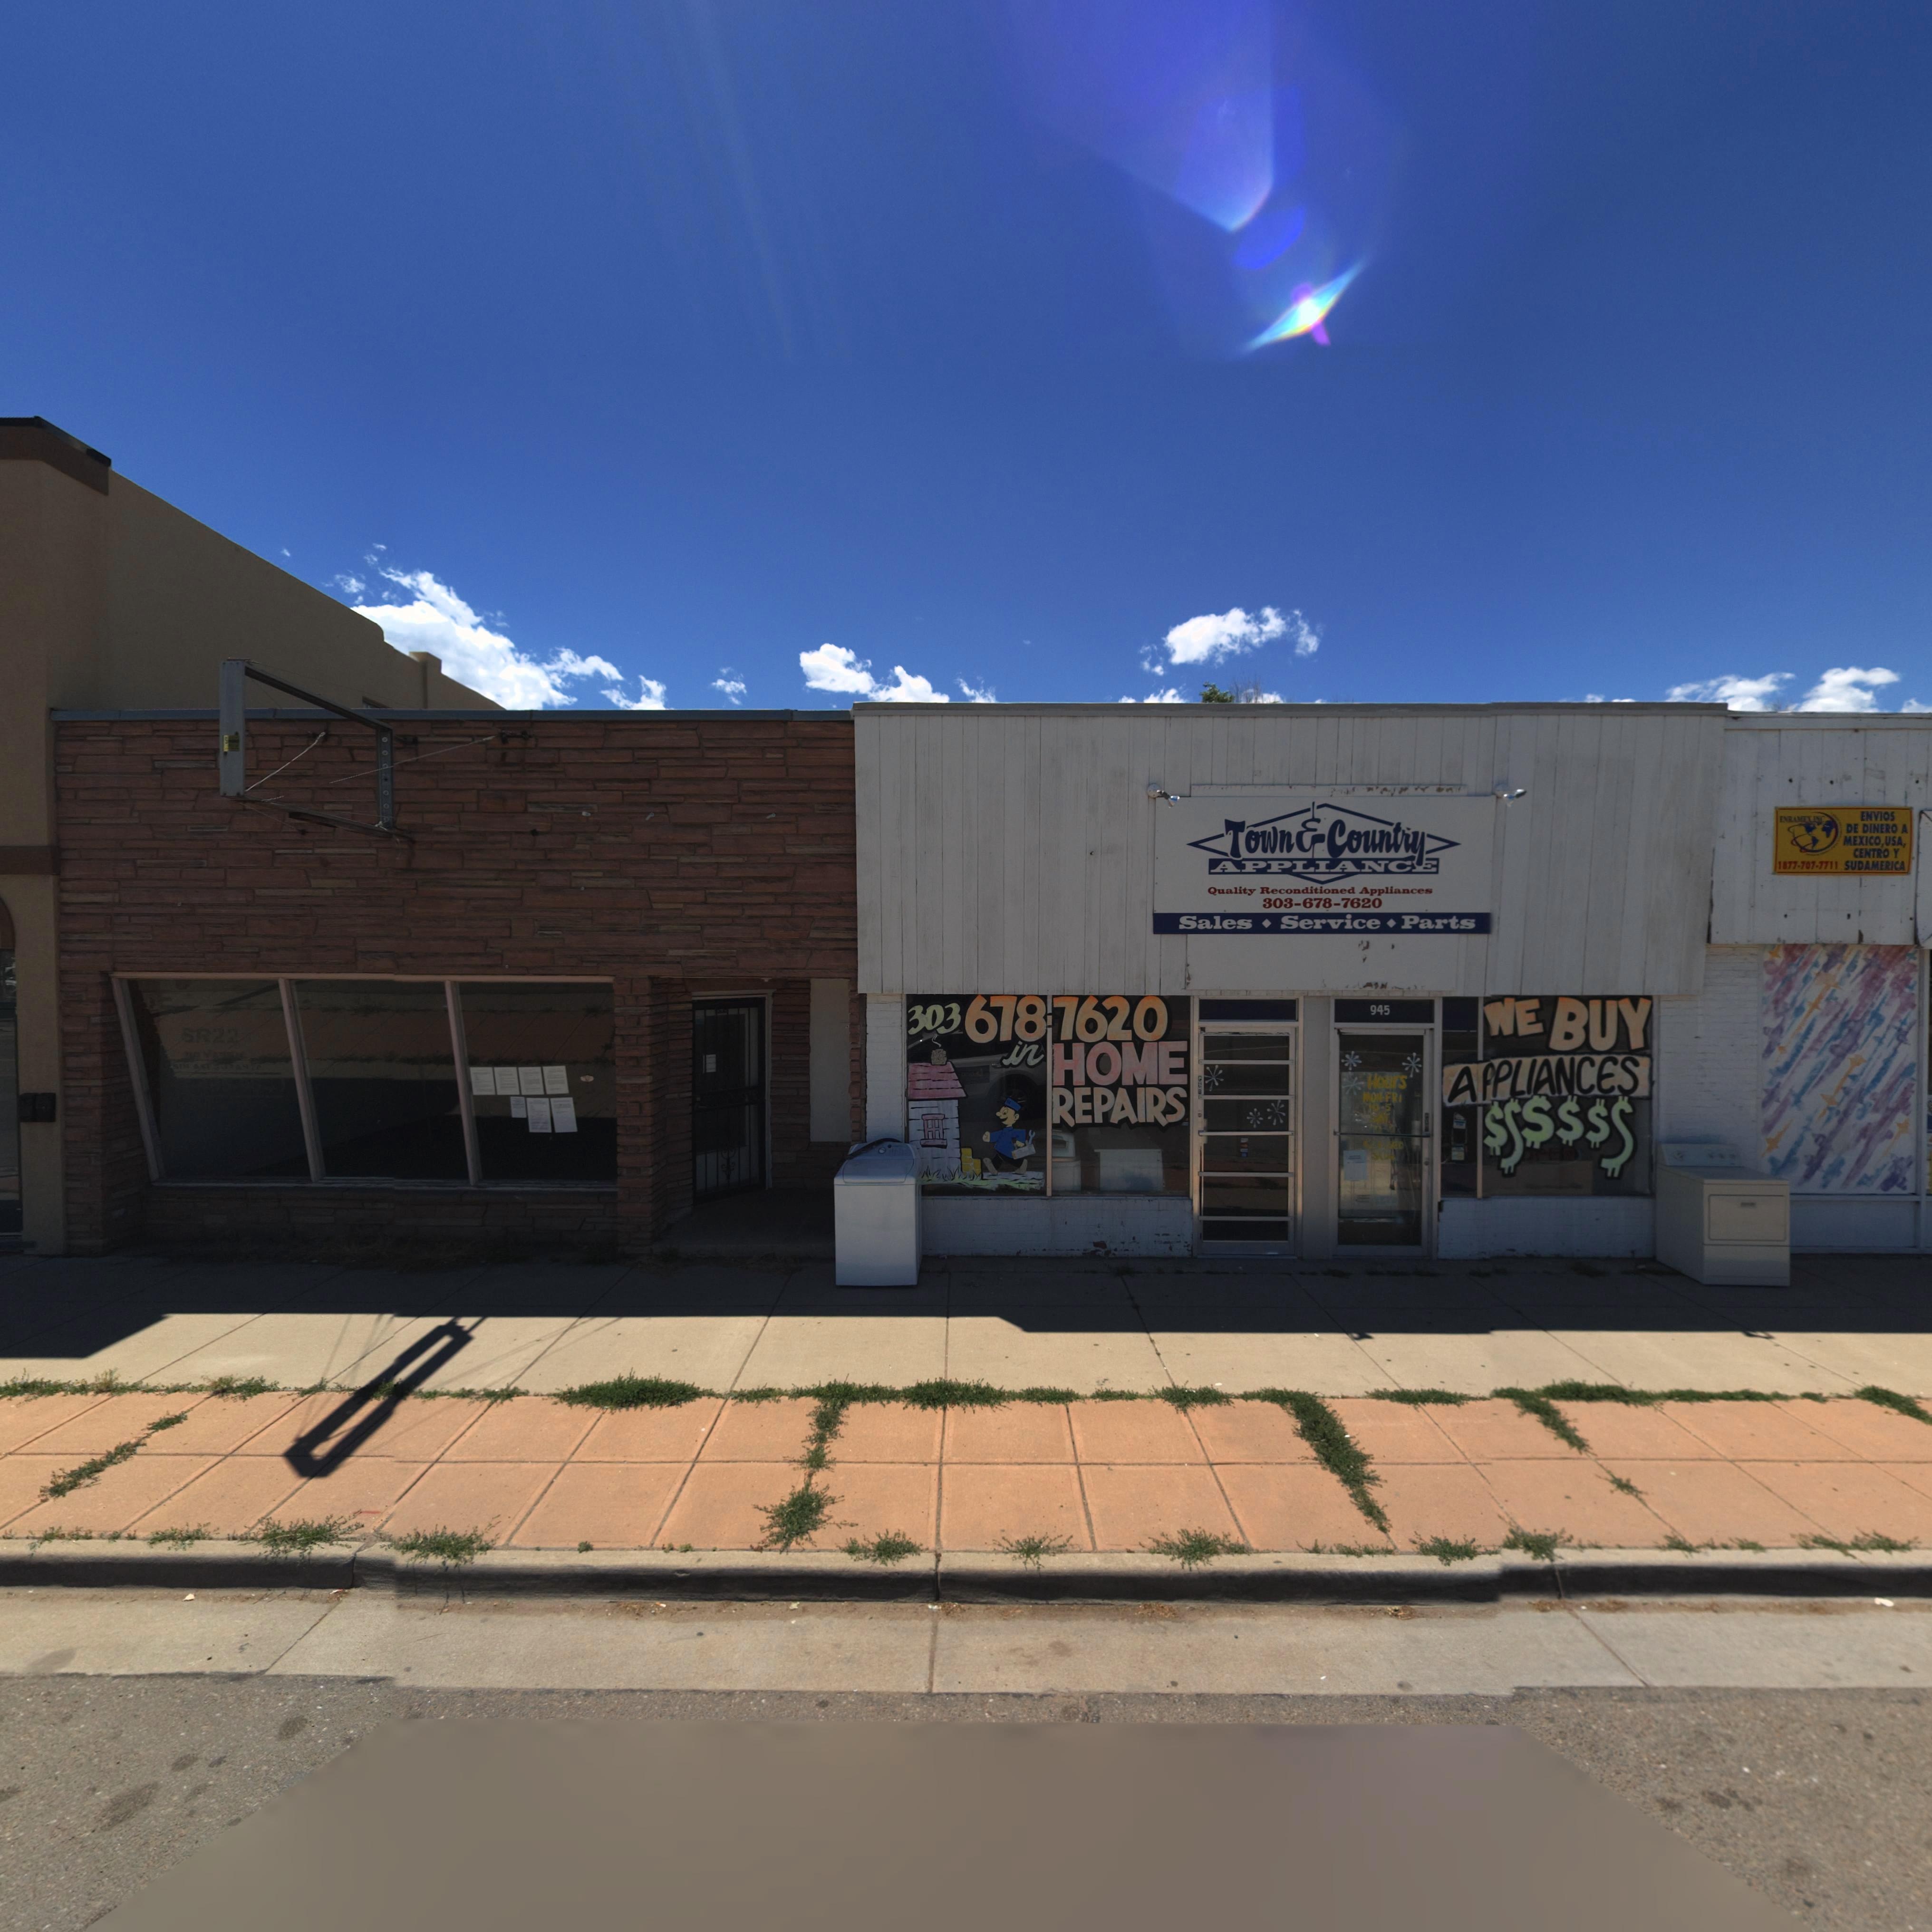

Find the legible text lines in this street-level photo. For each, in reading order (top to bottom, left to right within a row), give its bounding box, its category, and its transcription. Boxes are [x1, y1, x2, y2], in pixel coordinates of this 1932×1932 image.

[1223, 801, 1425, 866] BusinessName: Town * Country
[1210, 860, 1438, 872] BusinessName: APPLIANCE
[1370, 1004, 1390, 1015] StreetNumber: 945